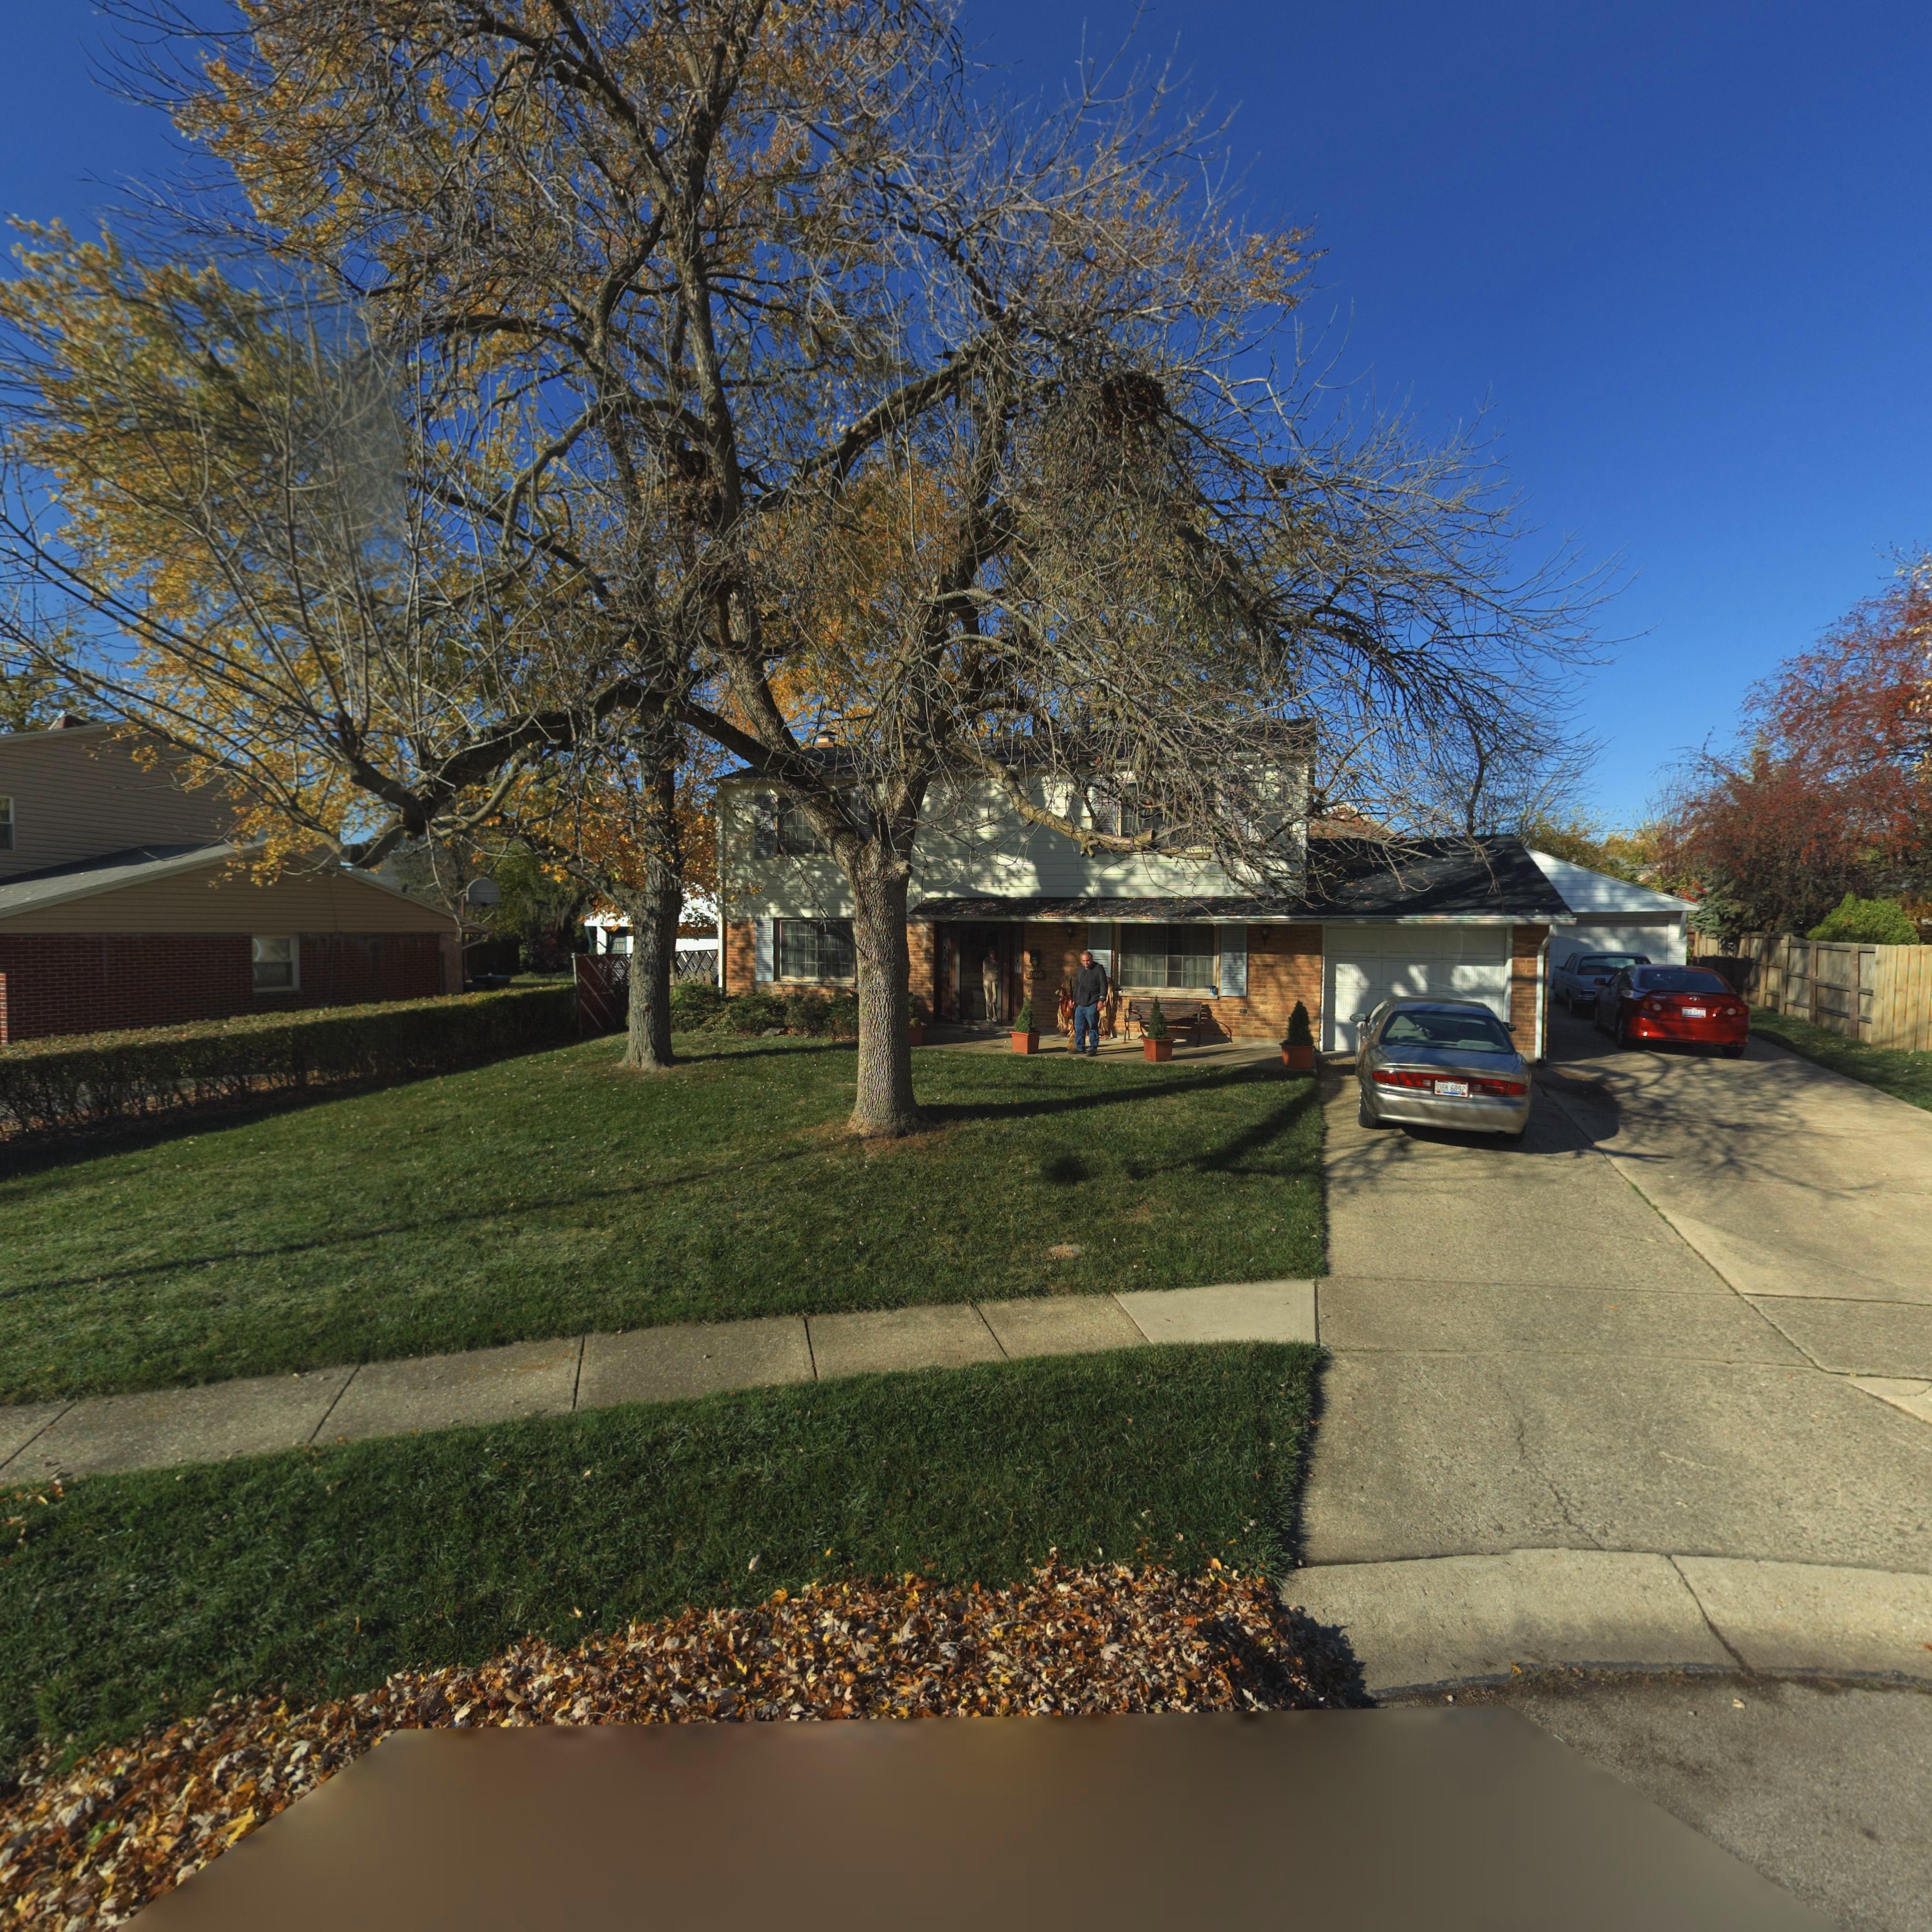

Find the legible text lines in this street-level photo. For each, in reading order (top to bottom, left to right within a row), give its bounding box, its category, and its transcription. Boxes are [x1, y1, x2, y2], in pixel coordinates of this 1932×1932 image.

[1025, 971, 1043, 979] StreetNumber: *906